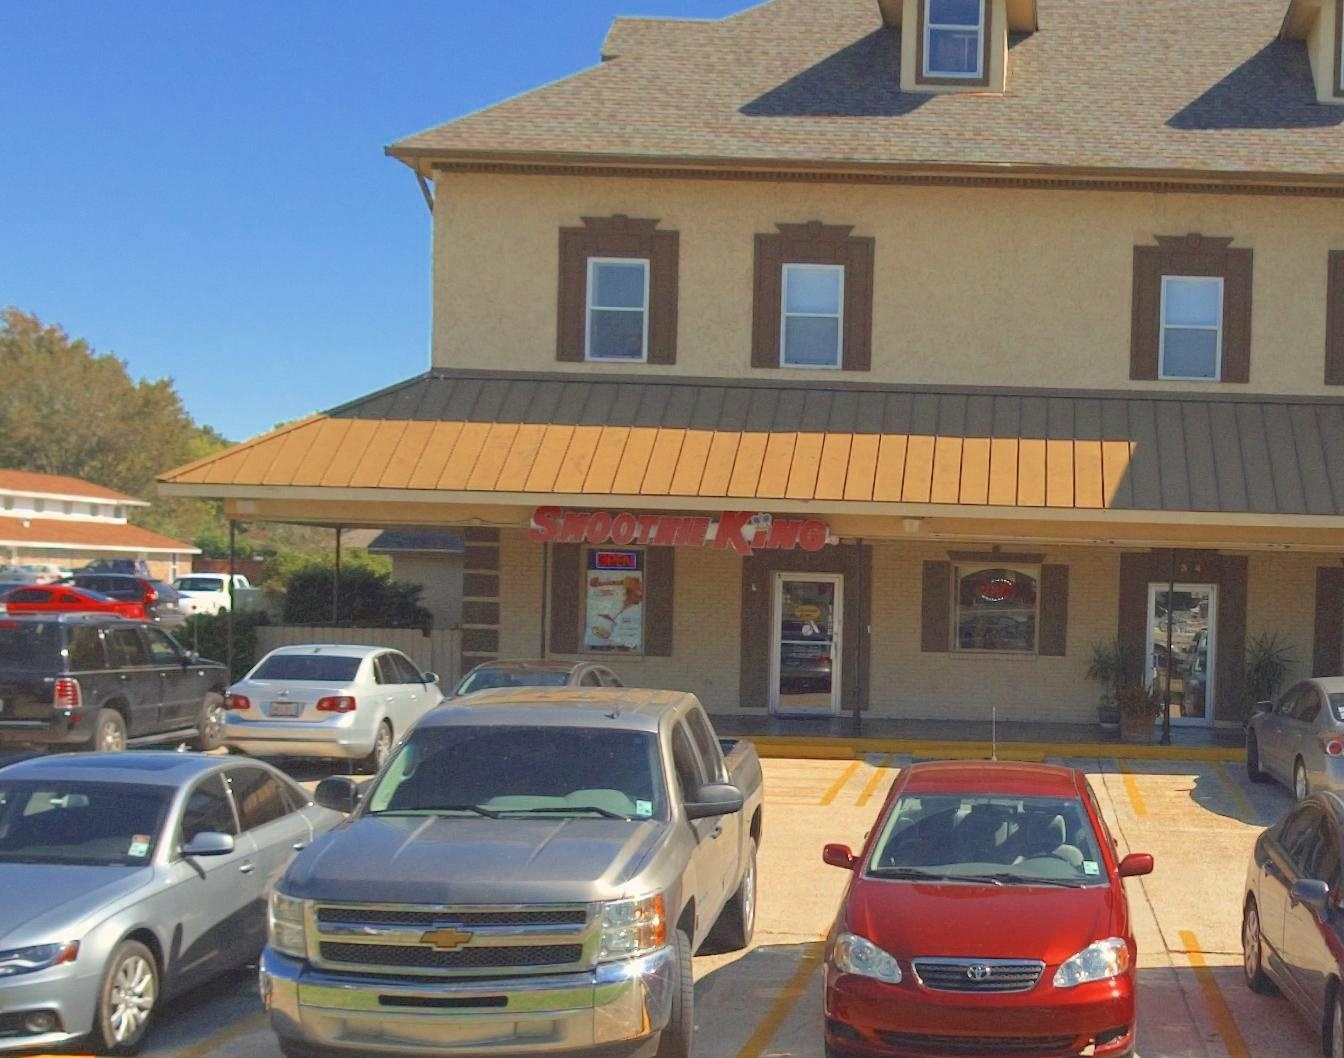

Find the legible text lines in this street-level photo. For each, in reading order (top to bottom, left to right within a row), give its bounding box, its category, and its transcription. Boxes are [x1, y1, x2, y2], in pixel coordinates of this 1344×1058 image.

[524, 504, 829, 560] BusinessName: SMOOTHIE K*NG
[595, 552, 637, 568] None: OPEN
[1179, 562, 1203, 573] StreetNumber: *4